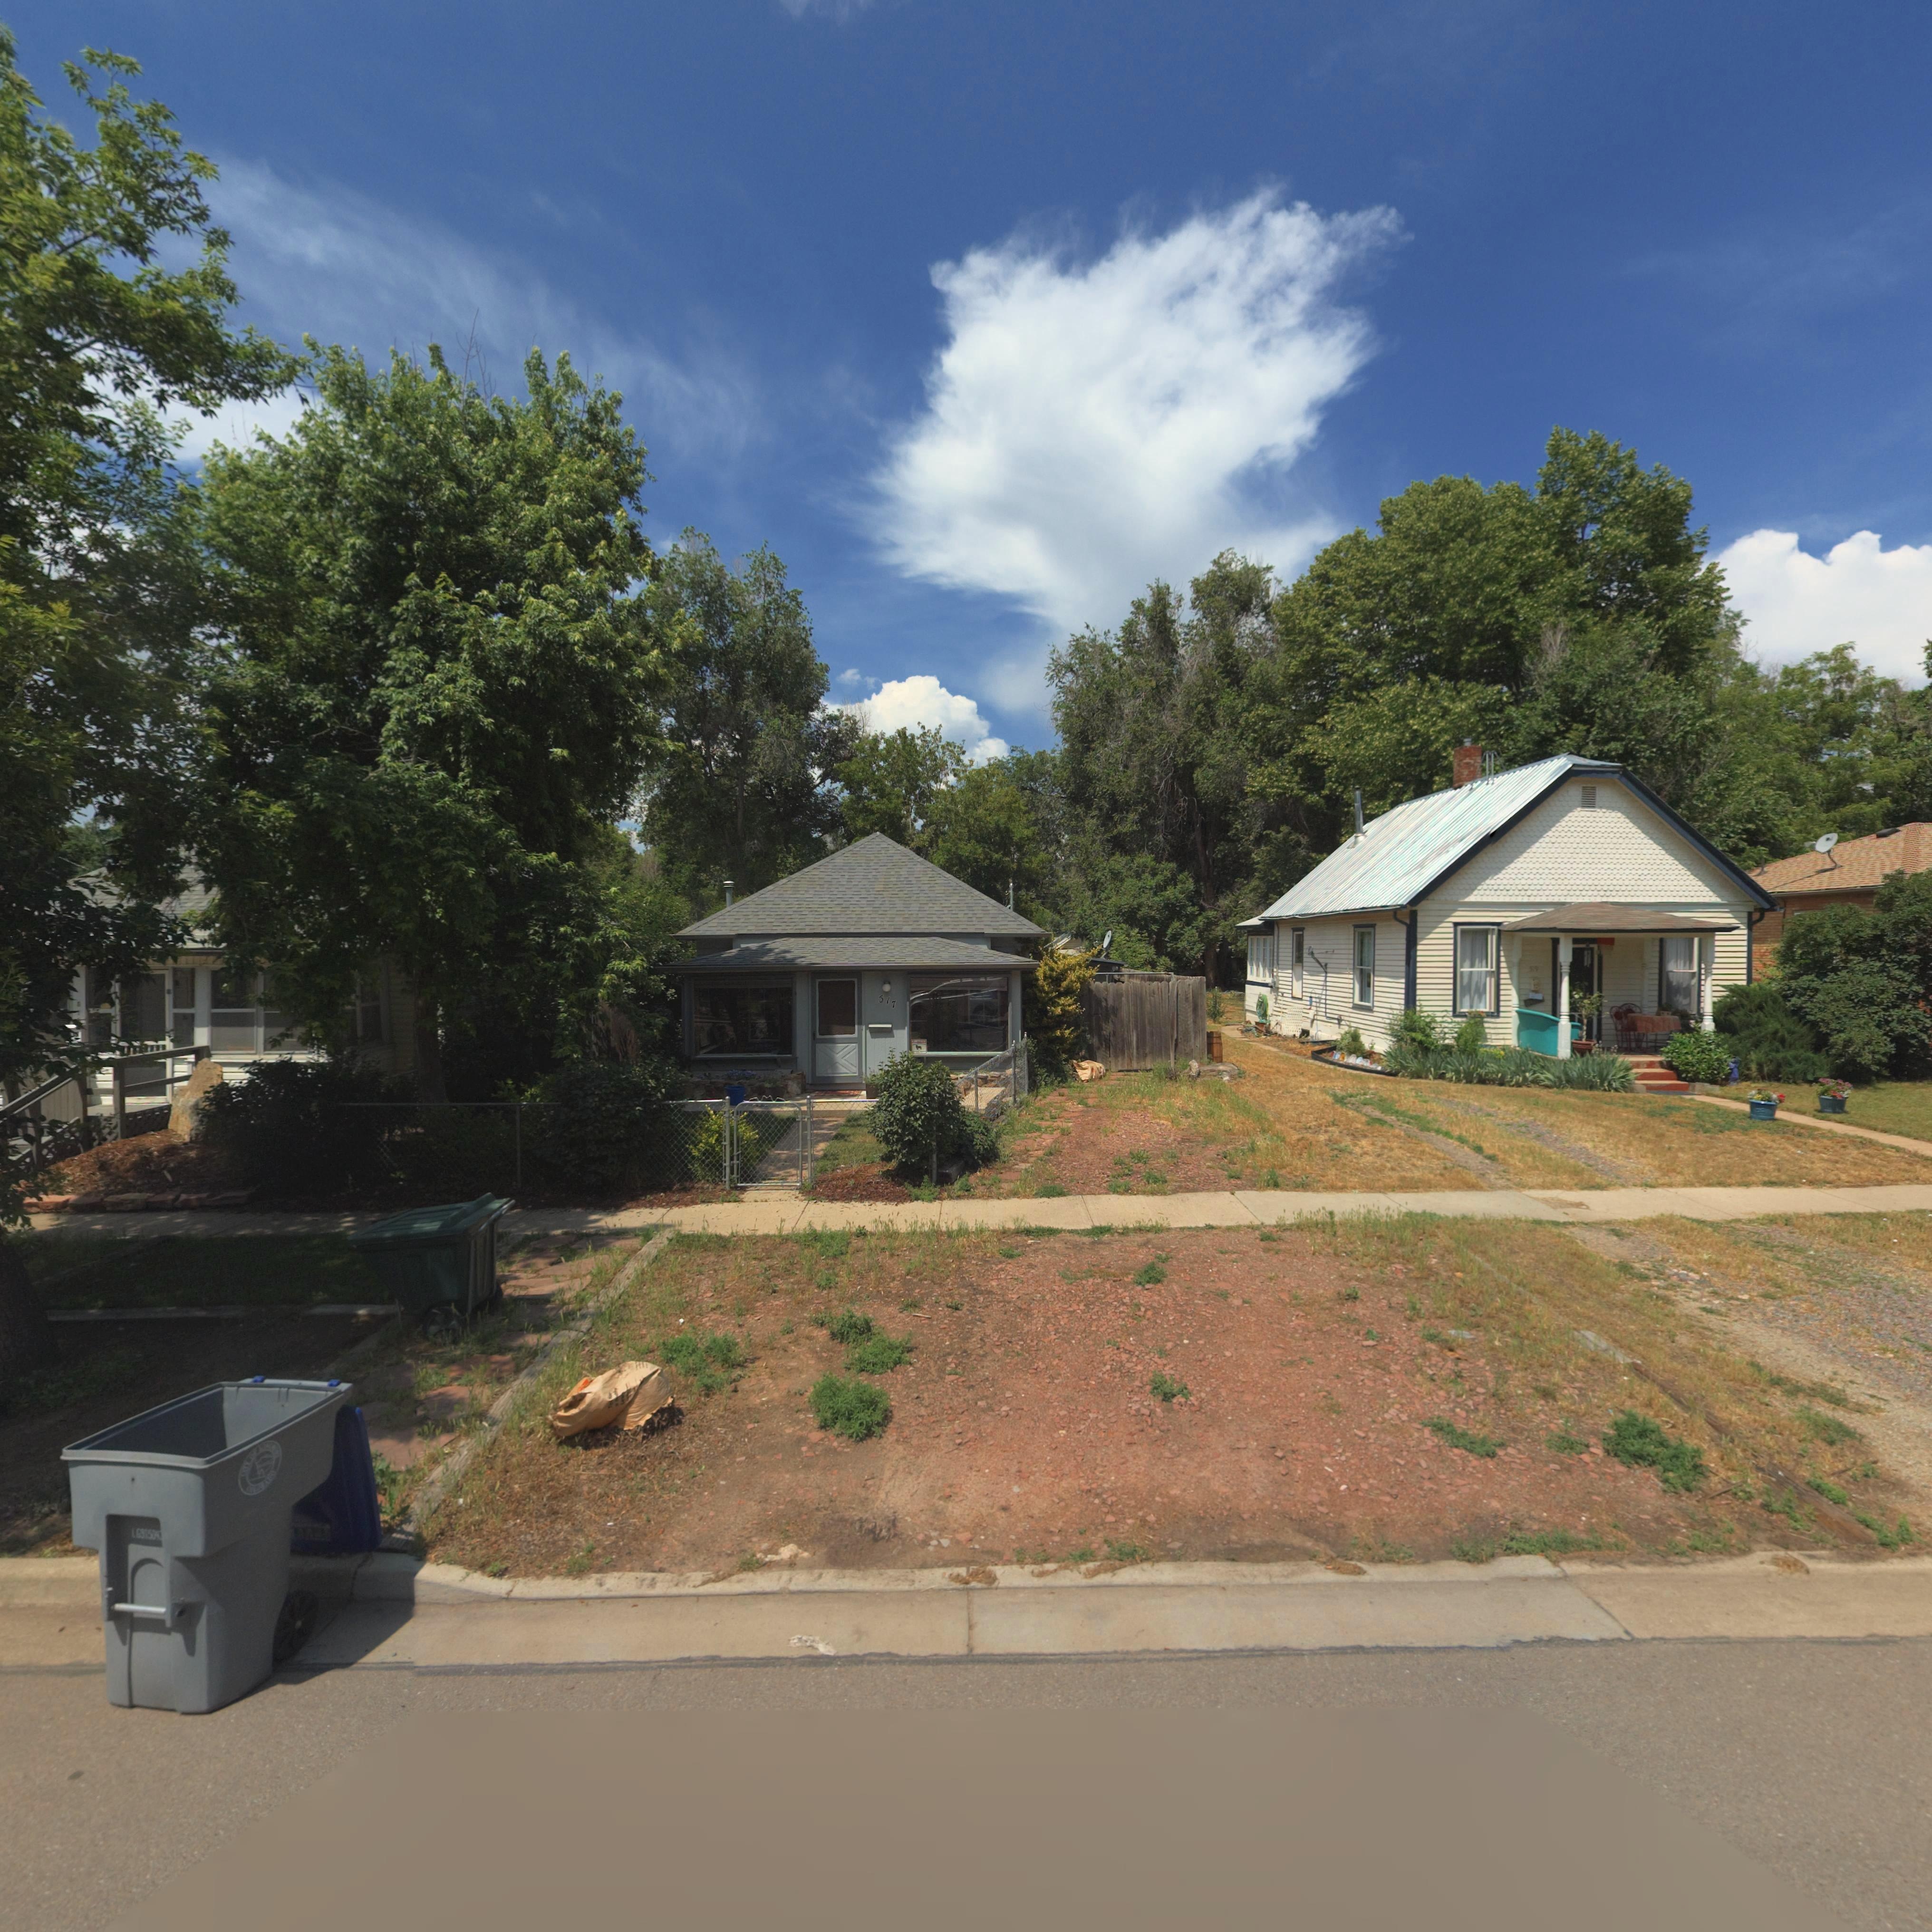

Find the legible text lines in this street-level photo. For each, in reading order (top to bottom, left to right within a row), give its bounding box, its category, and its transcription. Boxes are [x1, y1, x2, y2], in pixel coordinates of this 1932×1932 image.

[1527, 966, 1539, 972] StreetNumber: 519
[878, 995, 897, 1009] StreetNumber: 517